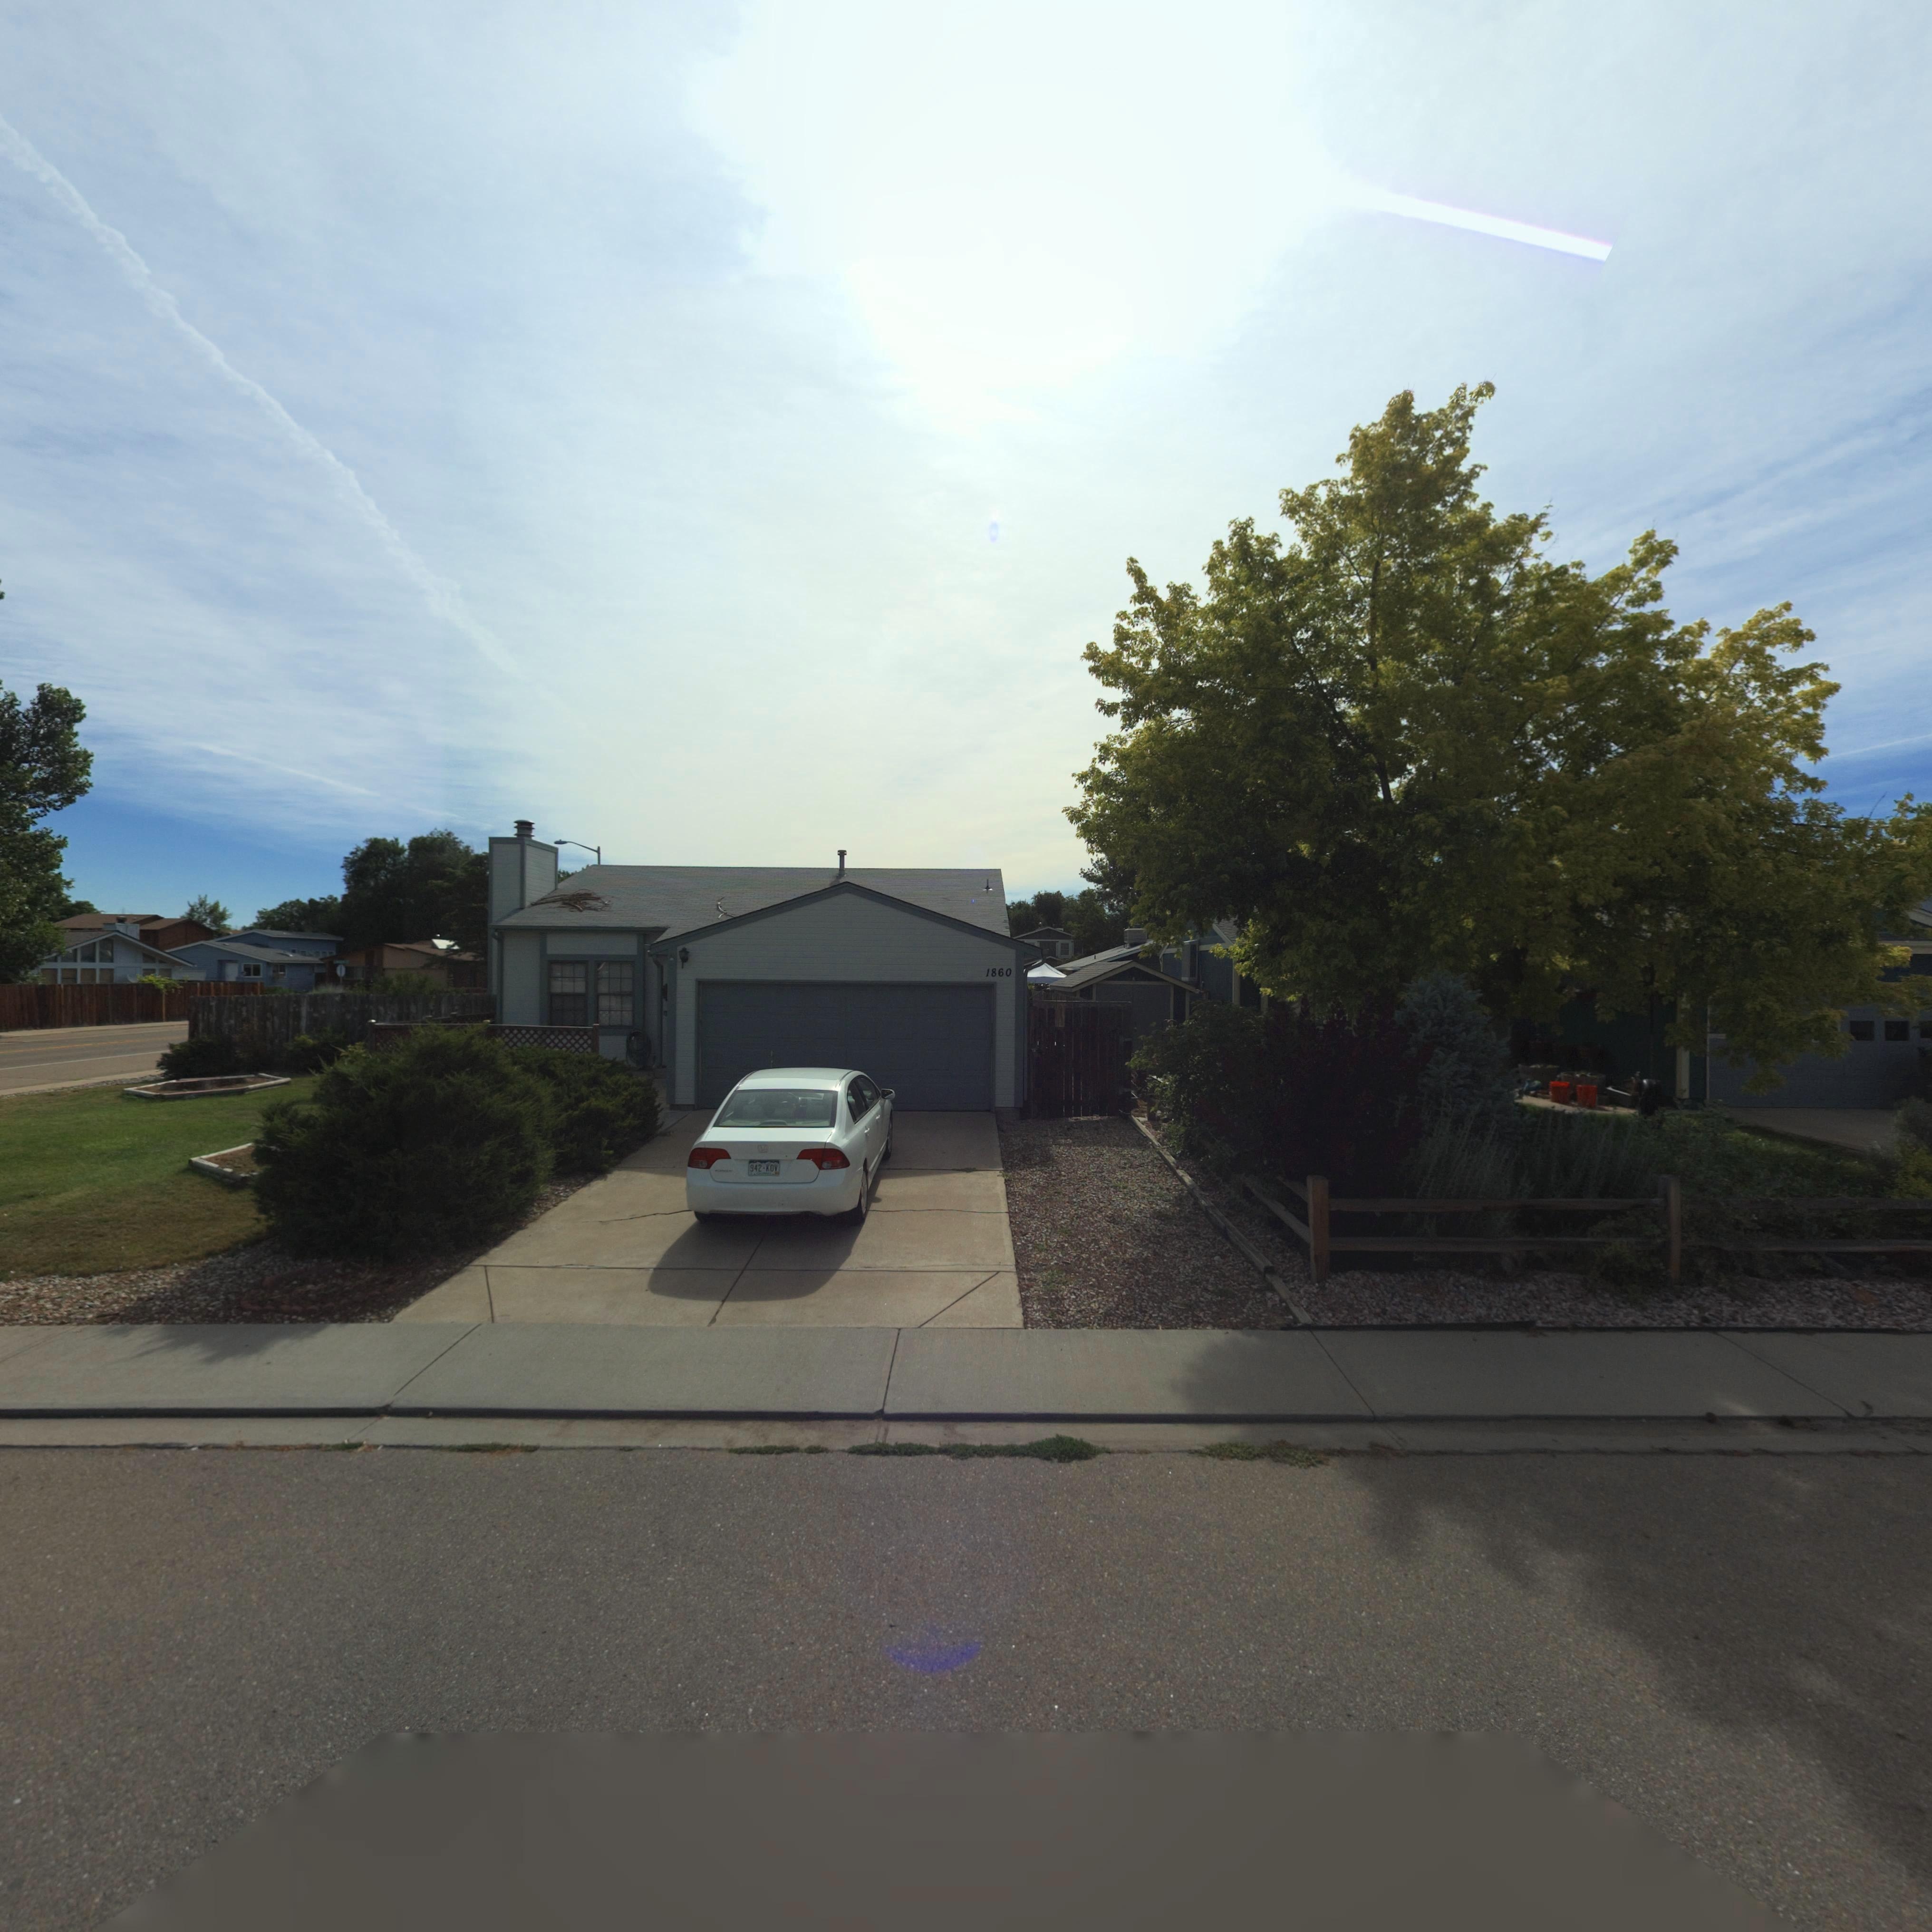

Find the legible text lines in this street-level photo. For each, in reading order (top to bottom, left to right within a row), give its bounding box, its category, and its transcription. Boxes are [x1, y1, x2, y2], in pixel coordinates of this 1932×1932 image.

[985, 967, 1012, 977] StreetNumber: 1860